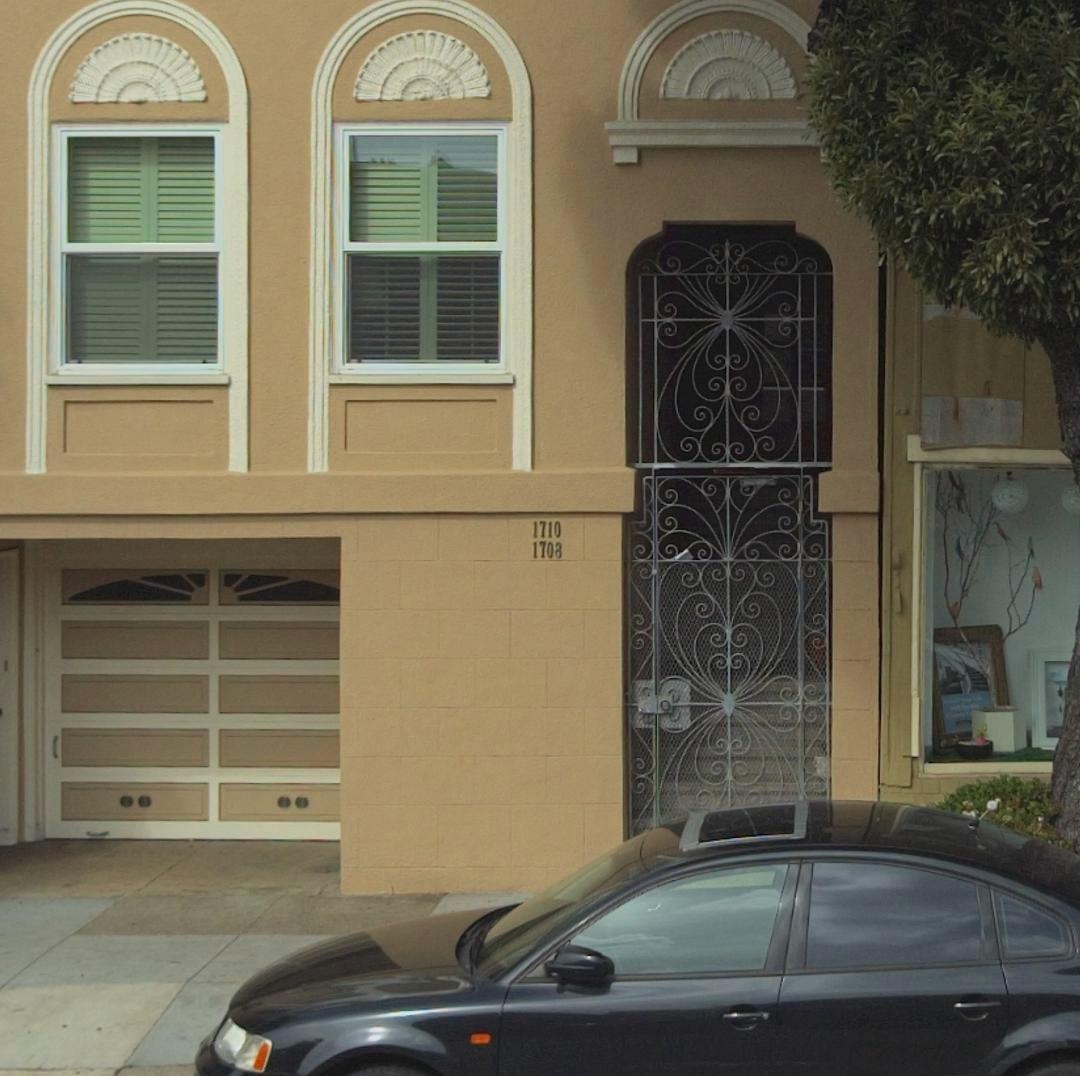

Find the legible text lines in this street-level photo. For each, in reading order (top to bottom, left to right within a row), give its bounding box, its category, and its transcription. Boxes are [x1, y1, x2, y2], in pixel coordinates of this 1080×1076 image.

[532, 520, 561, 539] StreetNumber: 1710
[532, 541, 562, 560] StreetNumber: 1708